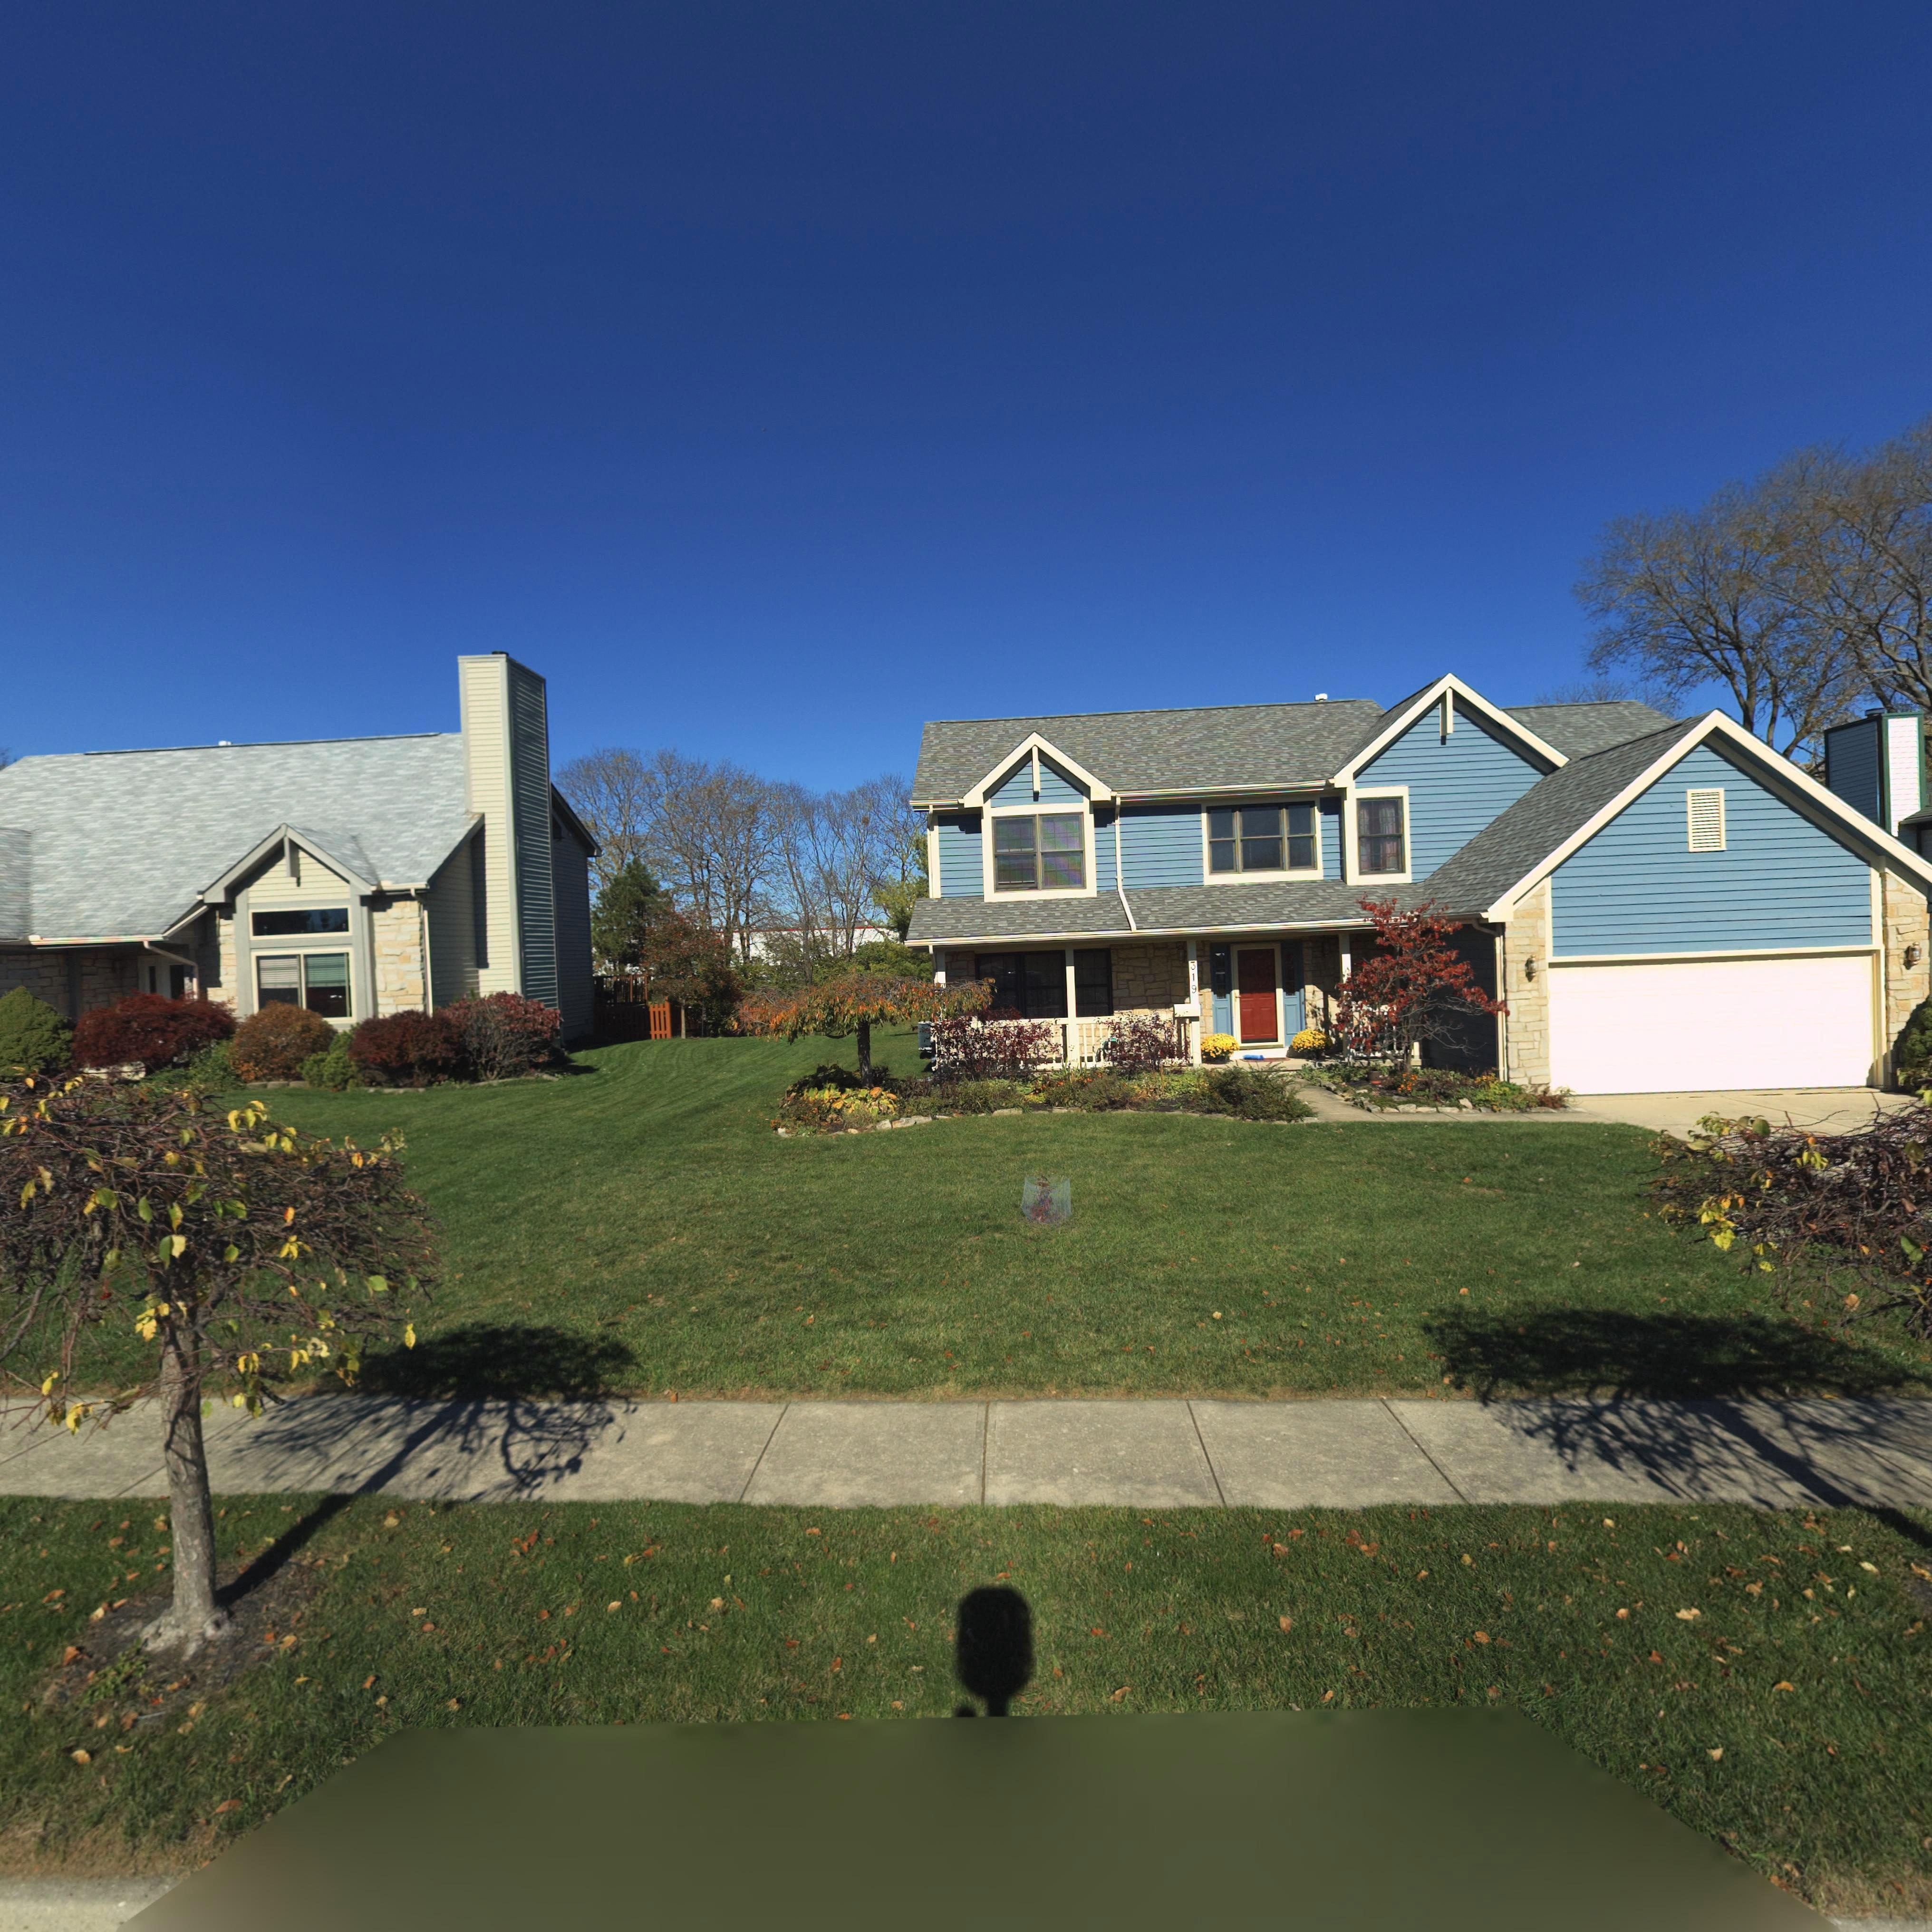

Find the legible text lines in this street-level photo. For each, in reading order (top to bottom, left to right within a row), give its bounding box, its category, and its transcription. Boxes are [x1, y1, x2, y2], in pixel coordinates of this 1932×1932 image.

[1189, 960, 1198, 995] StreetNumber: 319